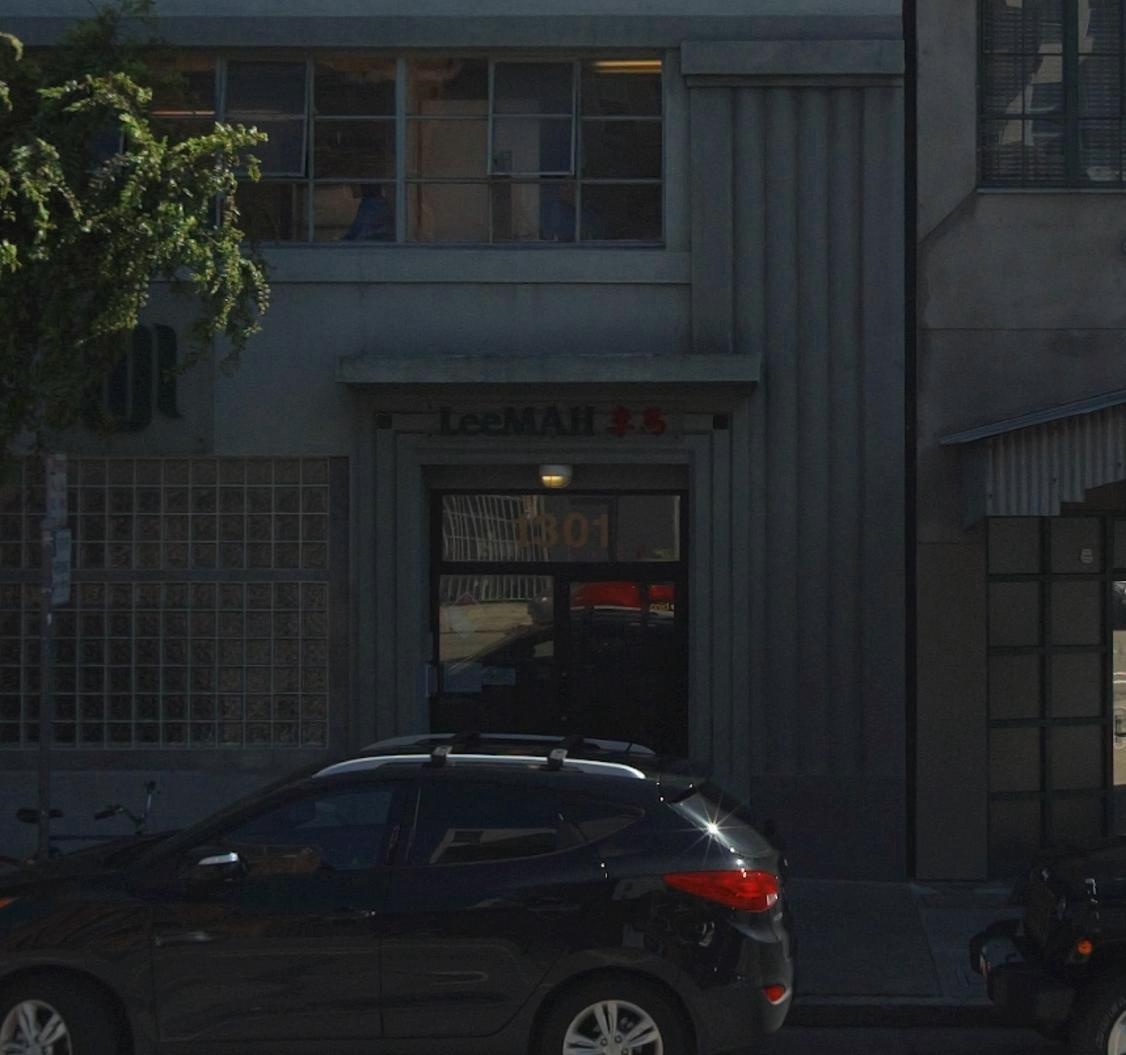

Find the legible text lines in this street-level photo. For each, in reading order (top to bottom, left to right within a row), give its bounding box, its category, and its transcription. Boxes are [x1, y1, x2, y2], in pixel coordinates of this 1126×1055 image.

[430, 399, 598, 442] BusinessName: LeeMAH
[510, 507, 614, 553] StreetNumber: 1301